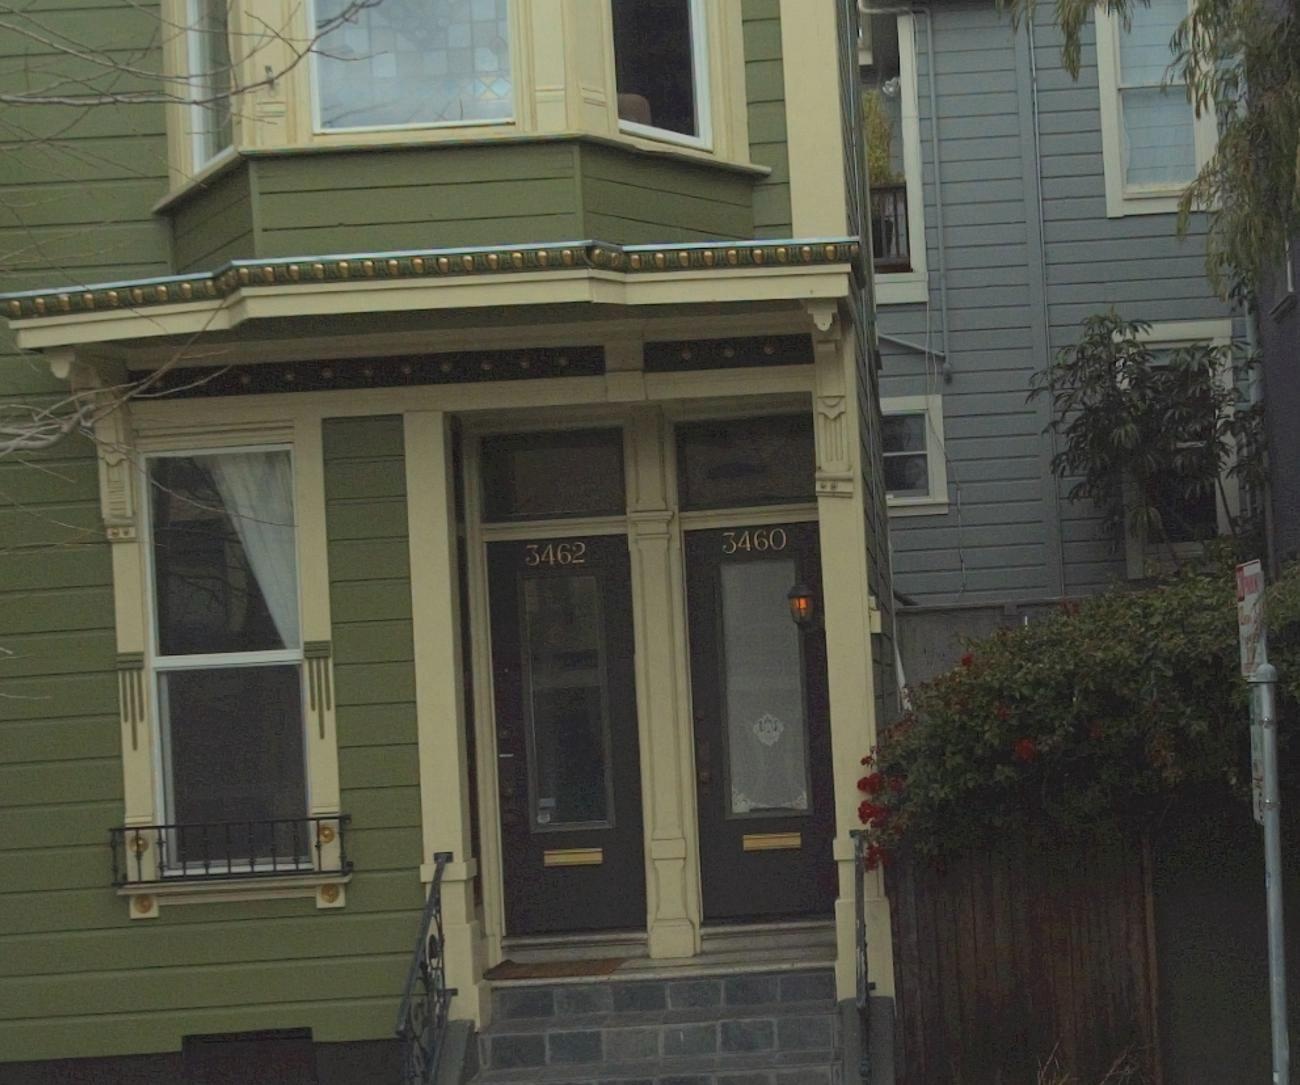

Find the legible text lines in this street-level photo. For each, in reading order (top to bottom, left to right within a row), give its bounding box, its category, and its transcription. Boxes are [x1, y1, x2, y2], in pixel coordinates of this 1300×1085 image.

[522, 538, 589, 568] StreetNumber: 3462
[719, 525, 789, 556] StreetNumber: 3460